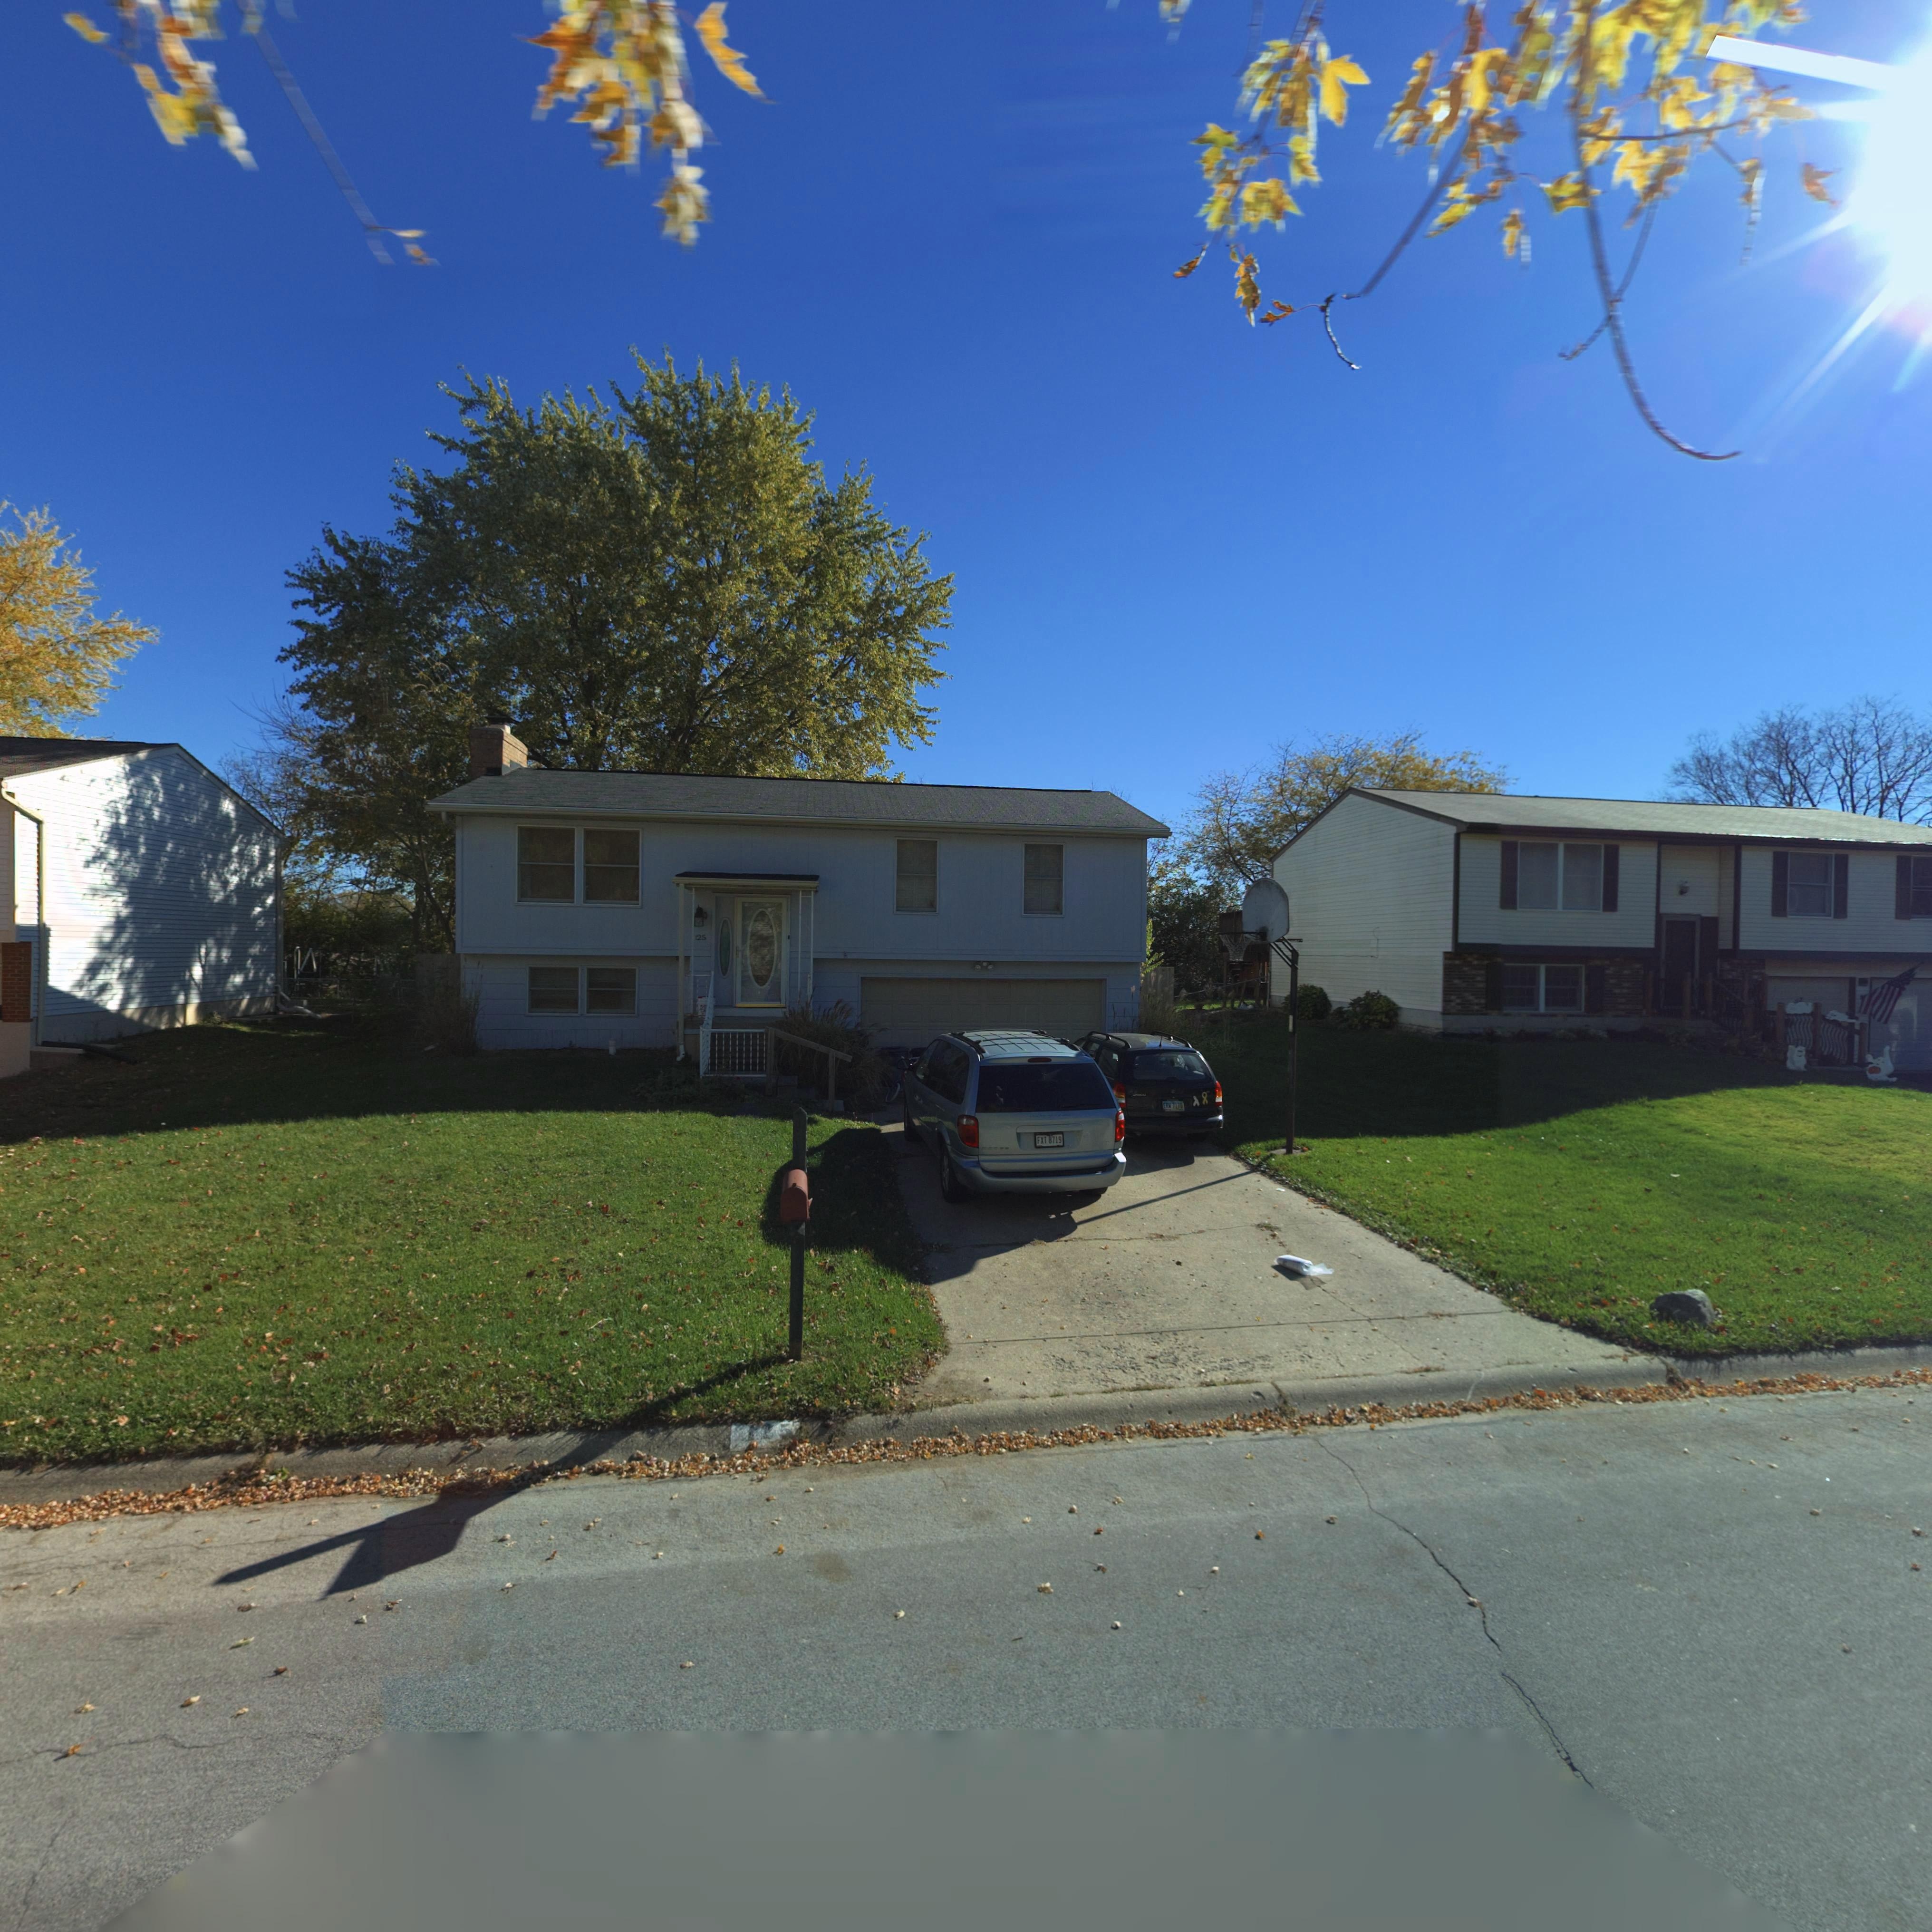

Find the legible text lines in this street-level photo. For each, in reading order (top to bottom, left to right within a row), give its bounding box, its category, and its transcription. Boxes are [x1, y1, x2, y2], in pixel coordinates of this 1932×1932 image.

[695, 934, 706, 941] StreetNumber: 125
[744, 1421, 795, 1442] StreetNumber: 12*